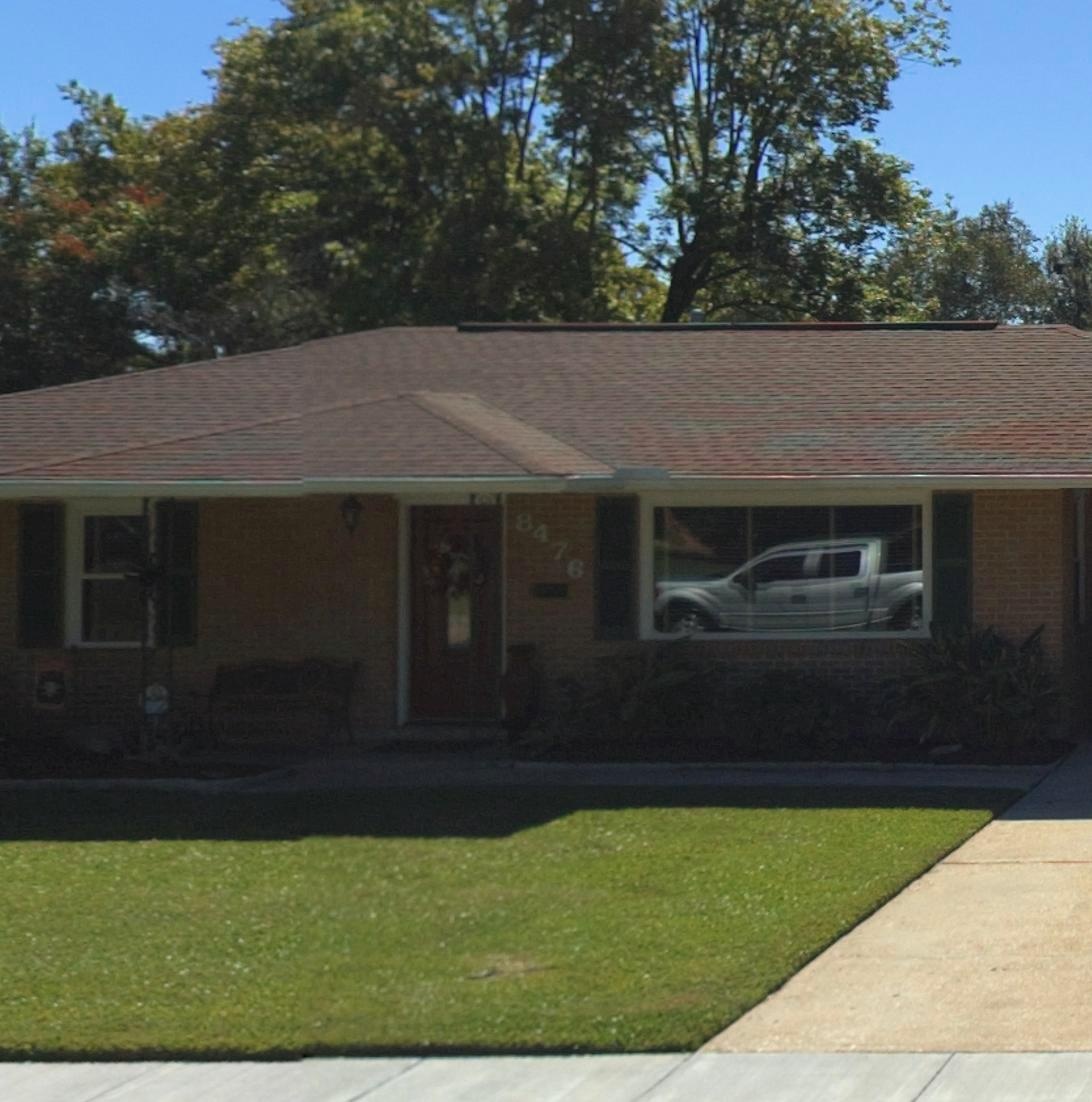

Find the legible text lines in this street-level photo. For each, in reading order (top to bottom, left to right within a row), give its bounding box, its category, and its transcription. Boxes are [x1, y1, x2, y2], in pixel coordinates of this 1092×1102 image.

[513, 511, 587, 585] StreetNumber: 8476